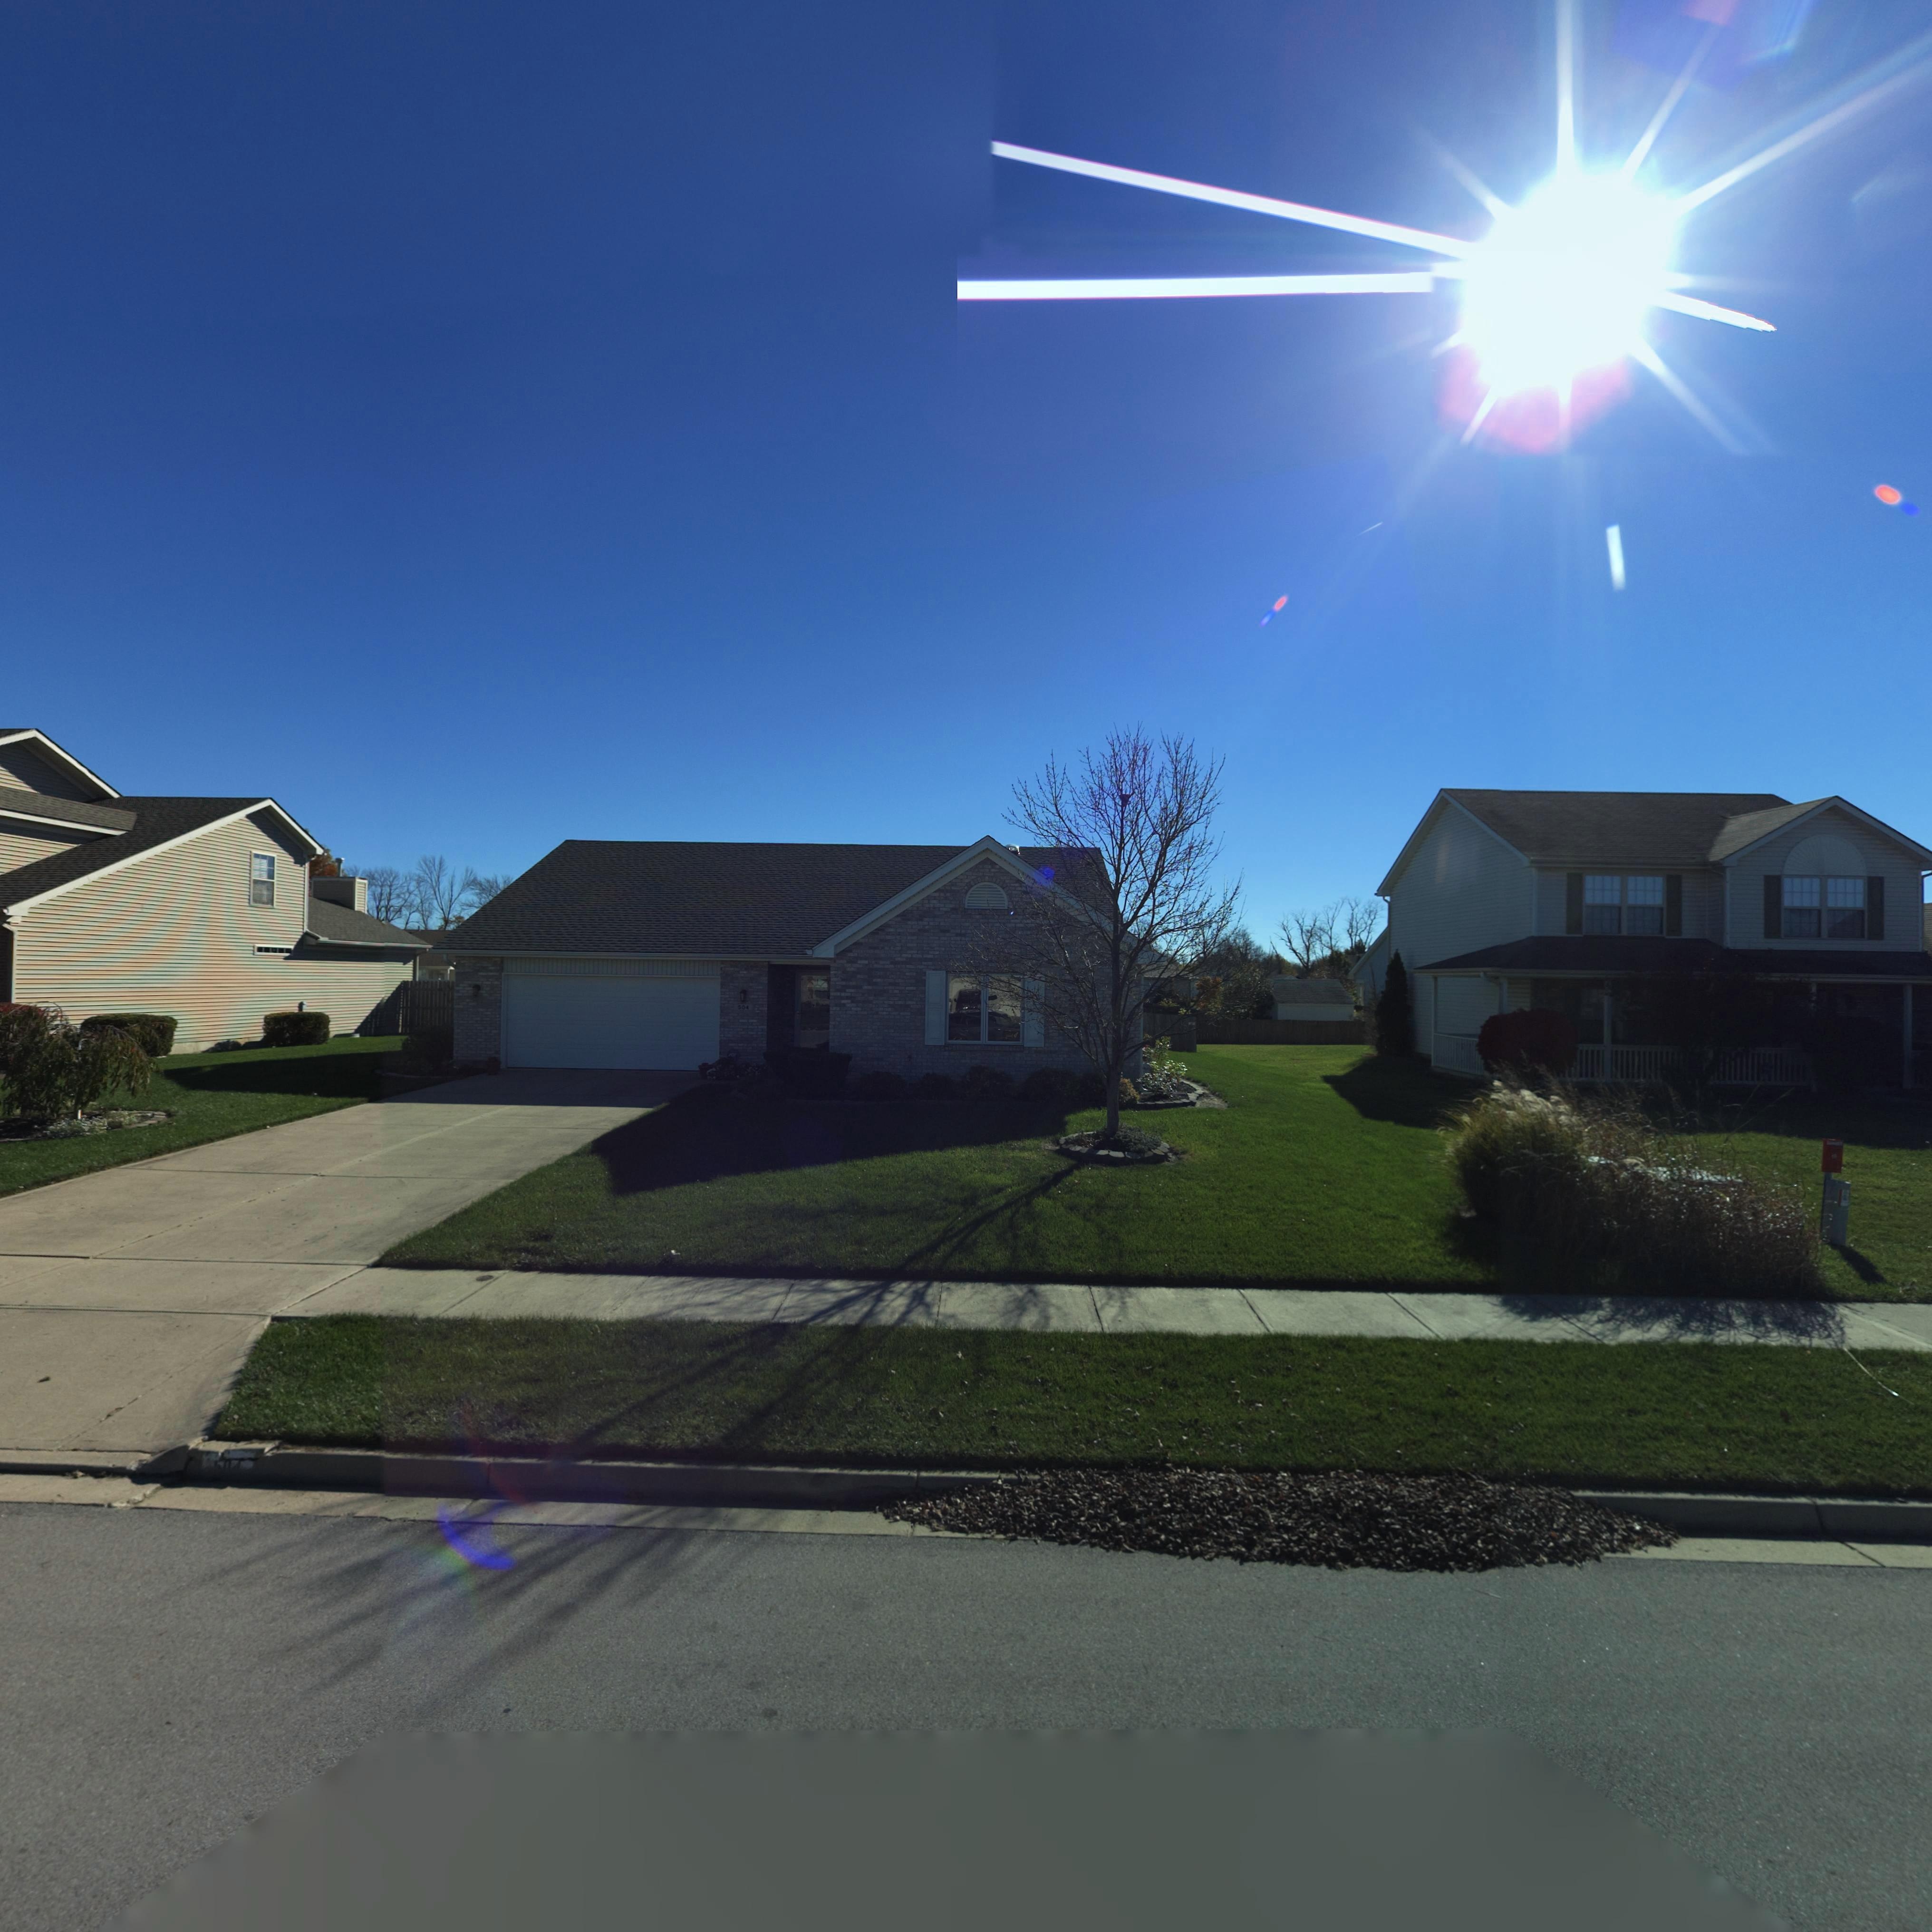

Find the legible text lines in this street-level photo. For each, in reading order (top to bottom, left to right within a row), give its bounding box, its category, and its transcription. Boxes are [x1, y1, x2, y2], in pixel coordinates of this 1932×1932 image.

[737, 1004, 750, 1010] StreetNumber: 504